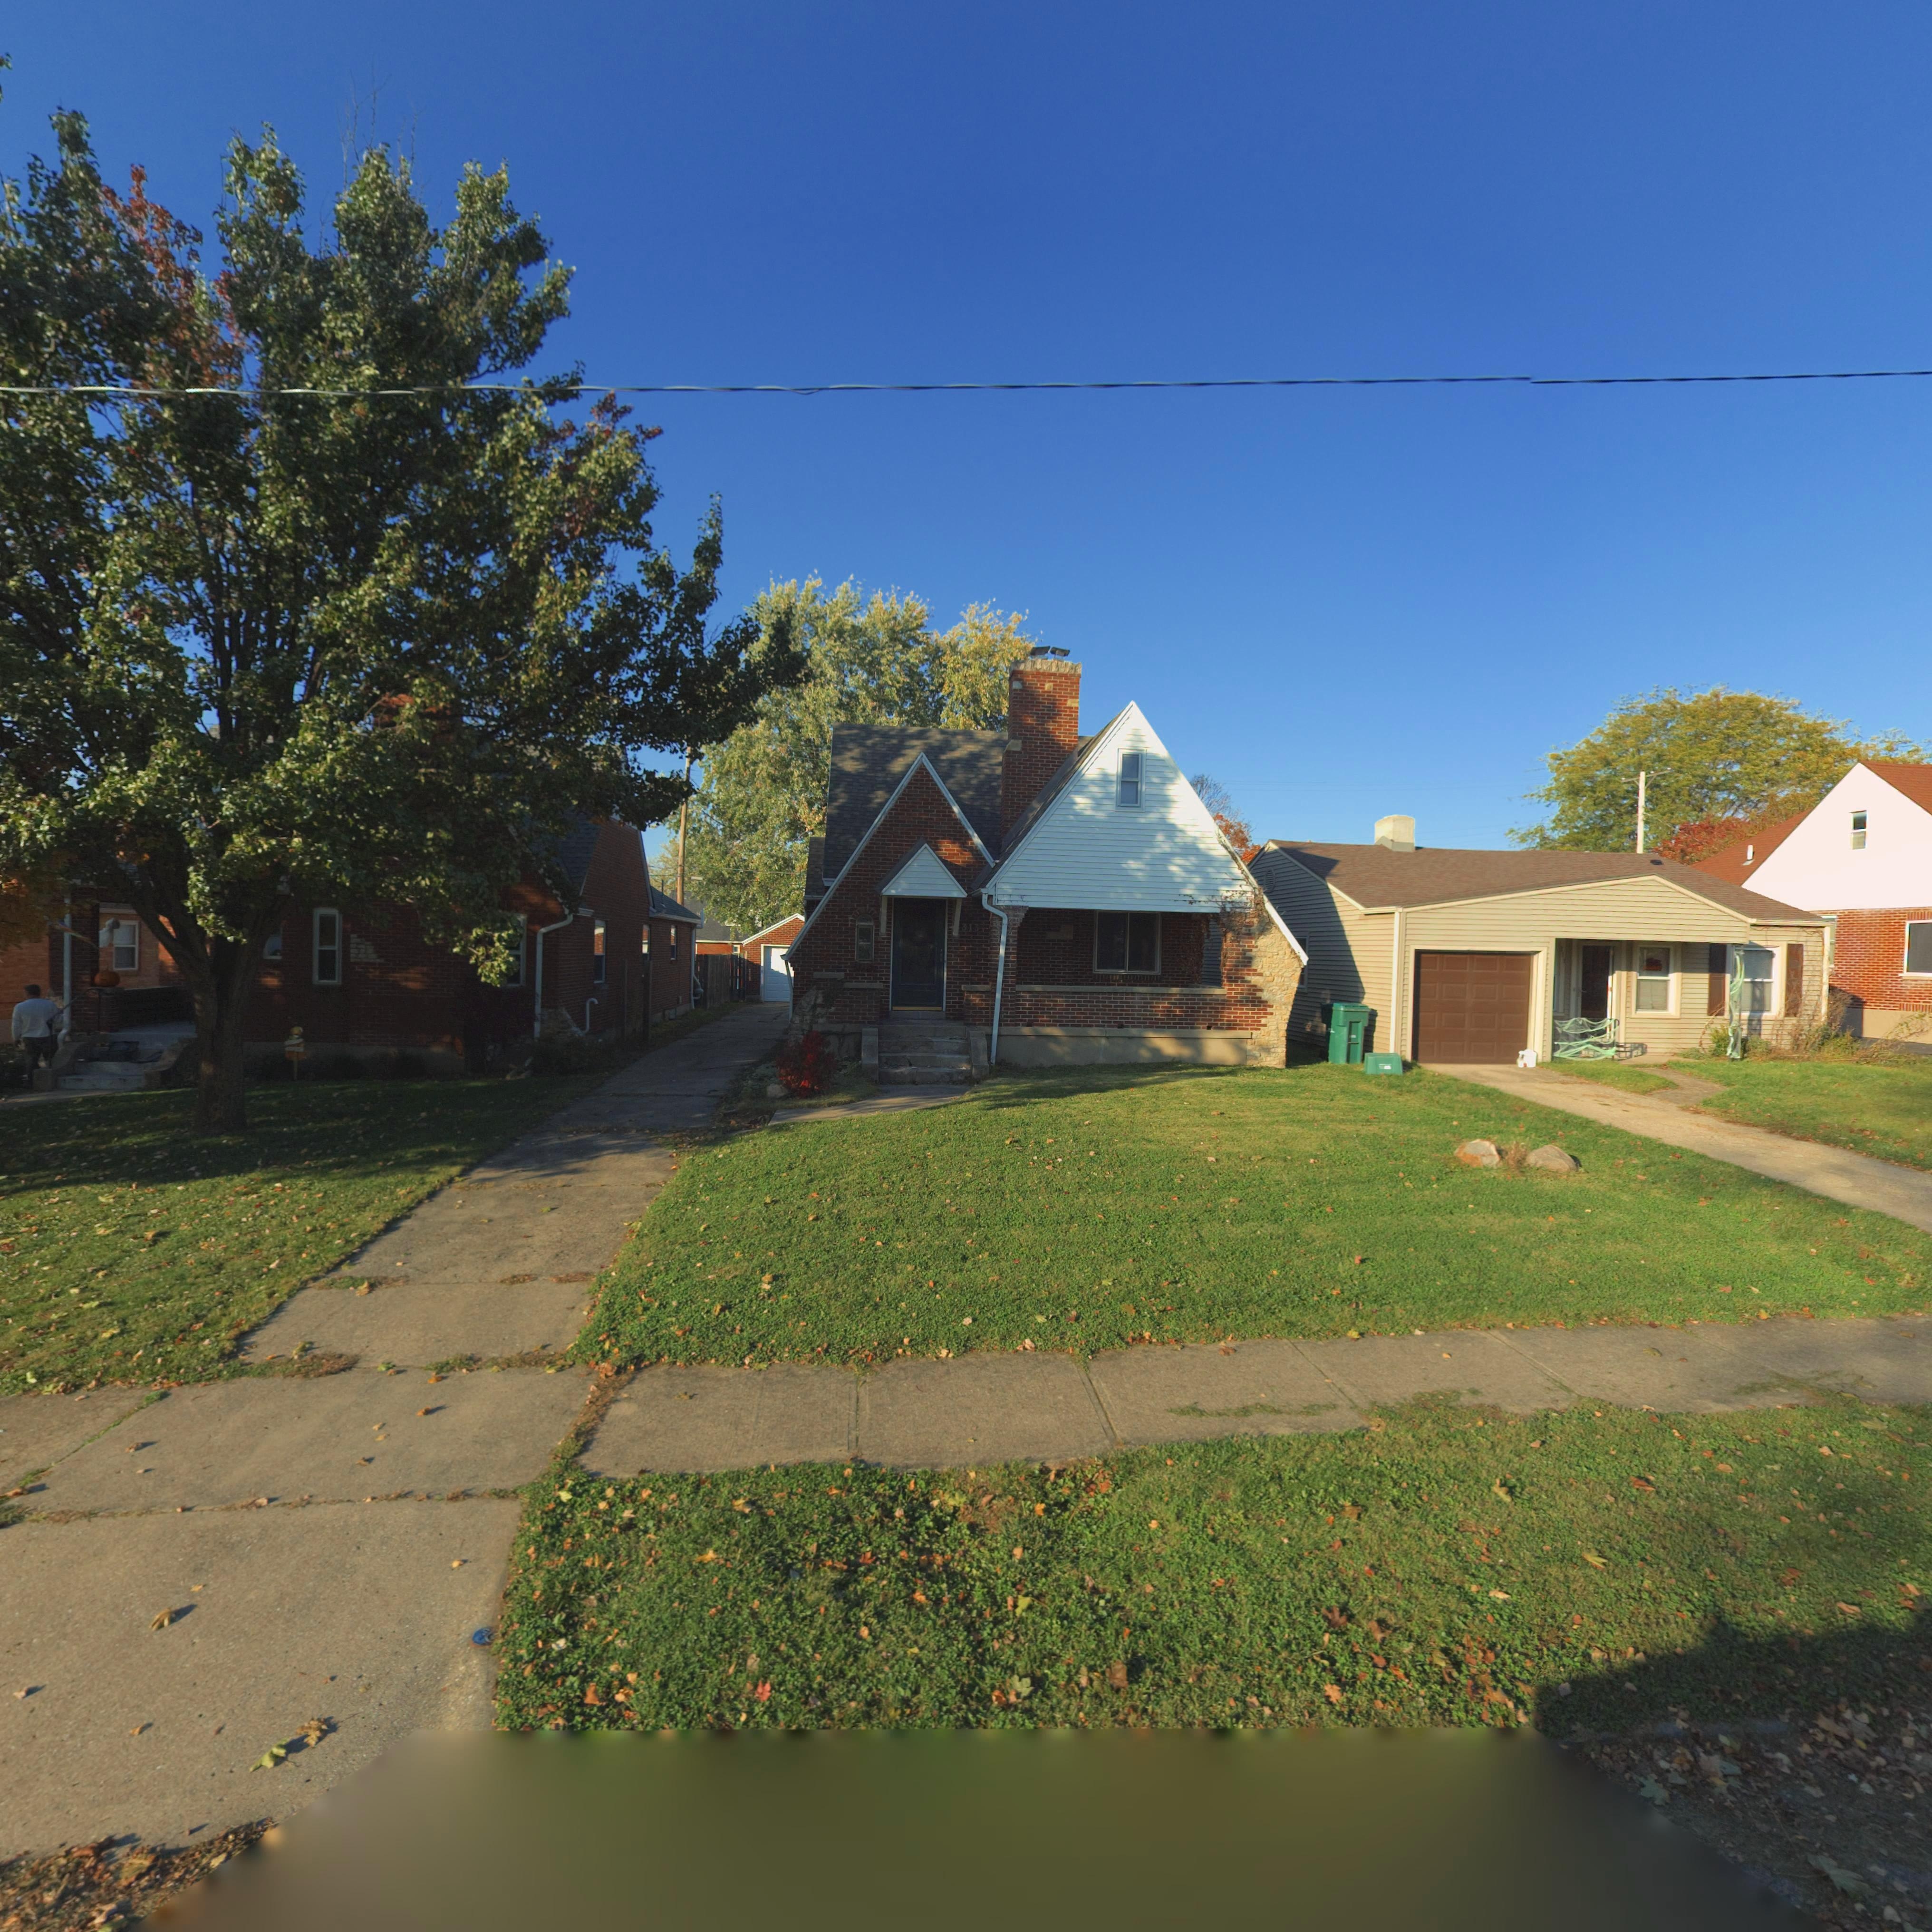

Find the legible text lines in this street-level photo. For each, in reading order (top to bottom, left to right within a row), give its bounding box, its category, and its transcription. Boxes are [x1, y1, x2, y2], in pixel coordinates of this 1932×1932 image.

[961, 922, 980, 934] StreetNumber: 313